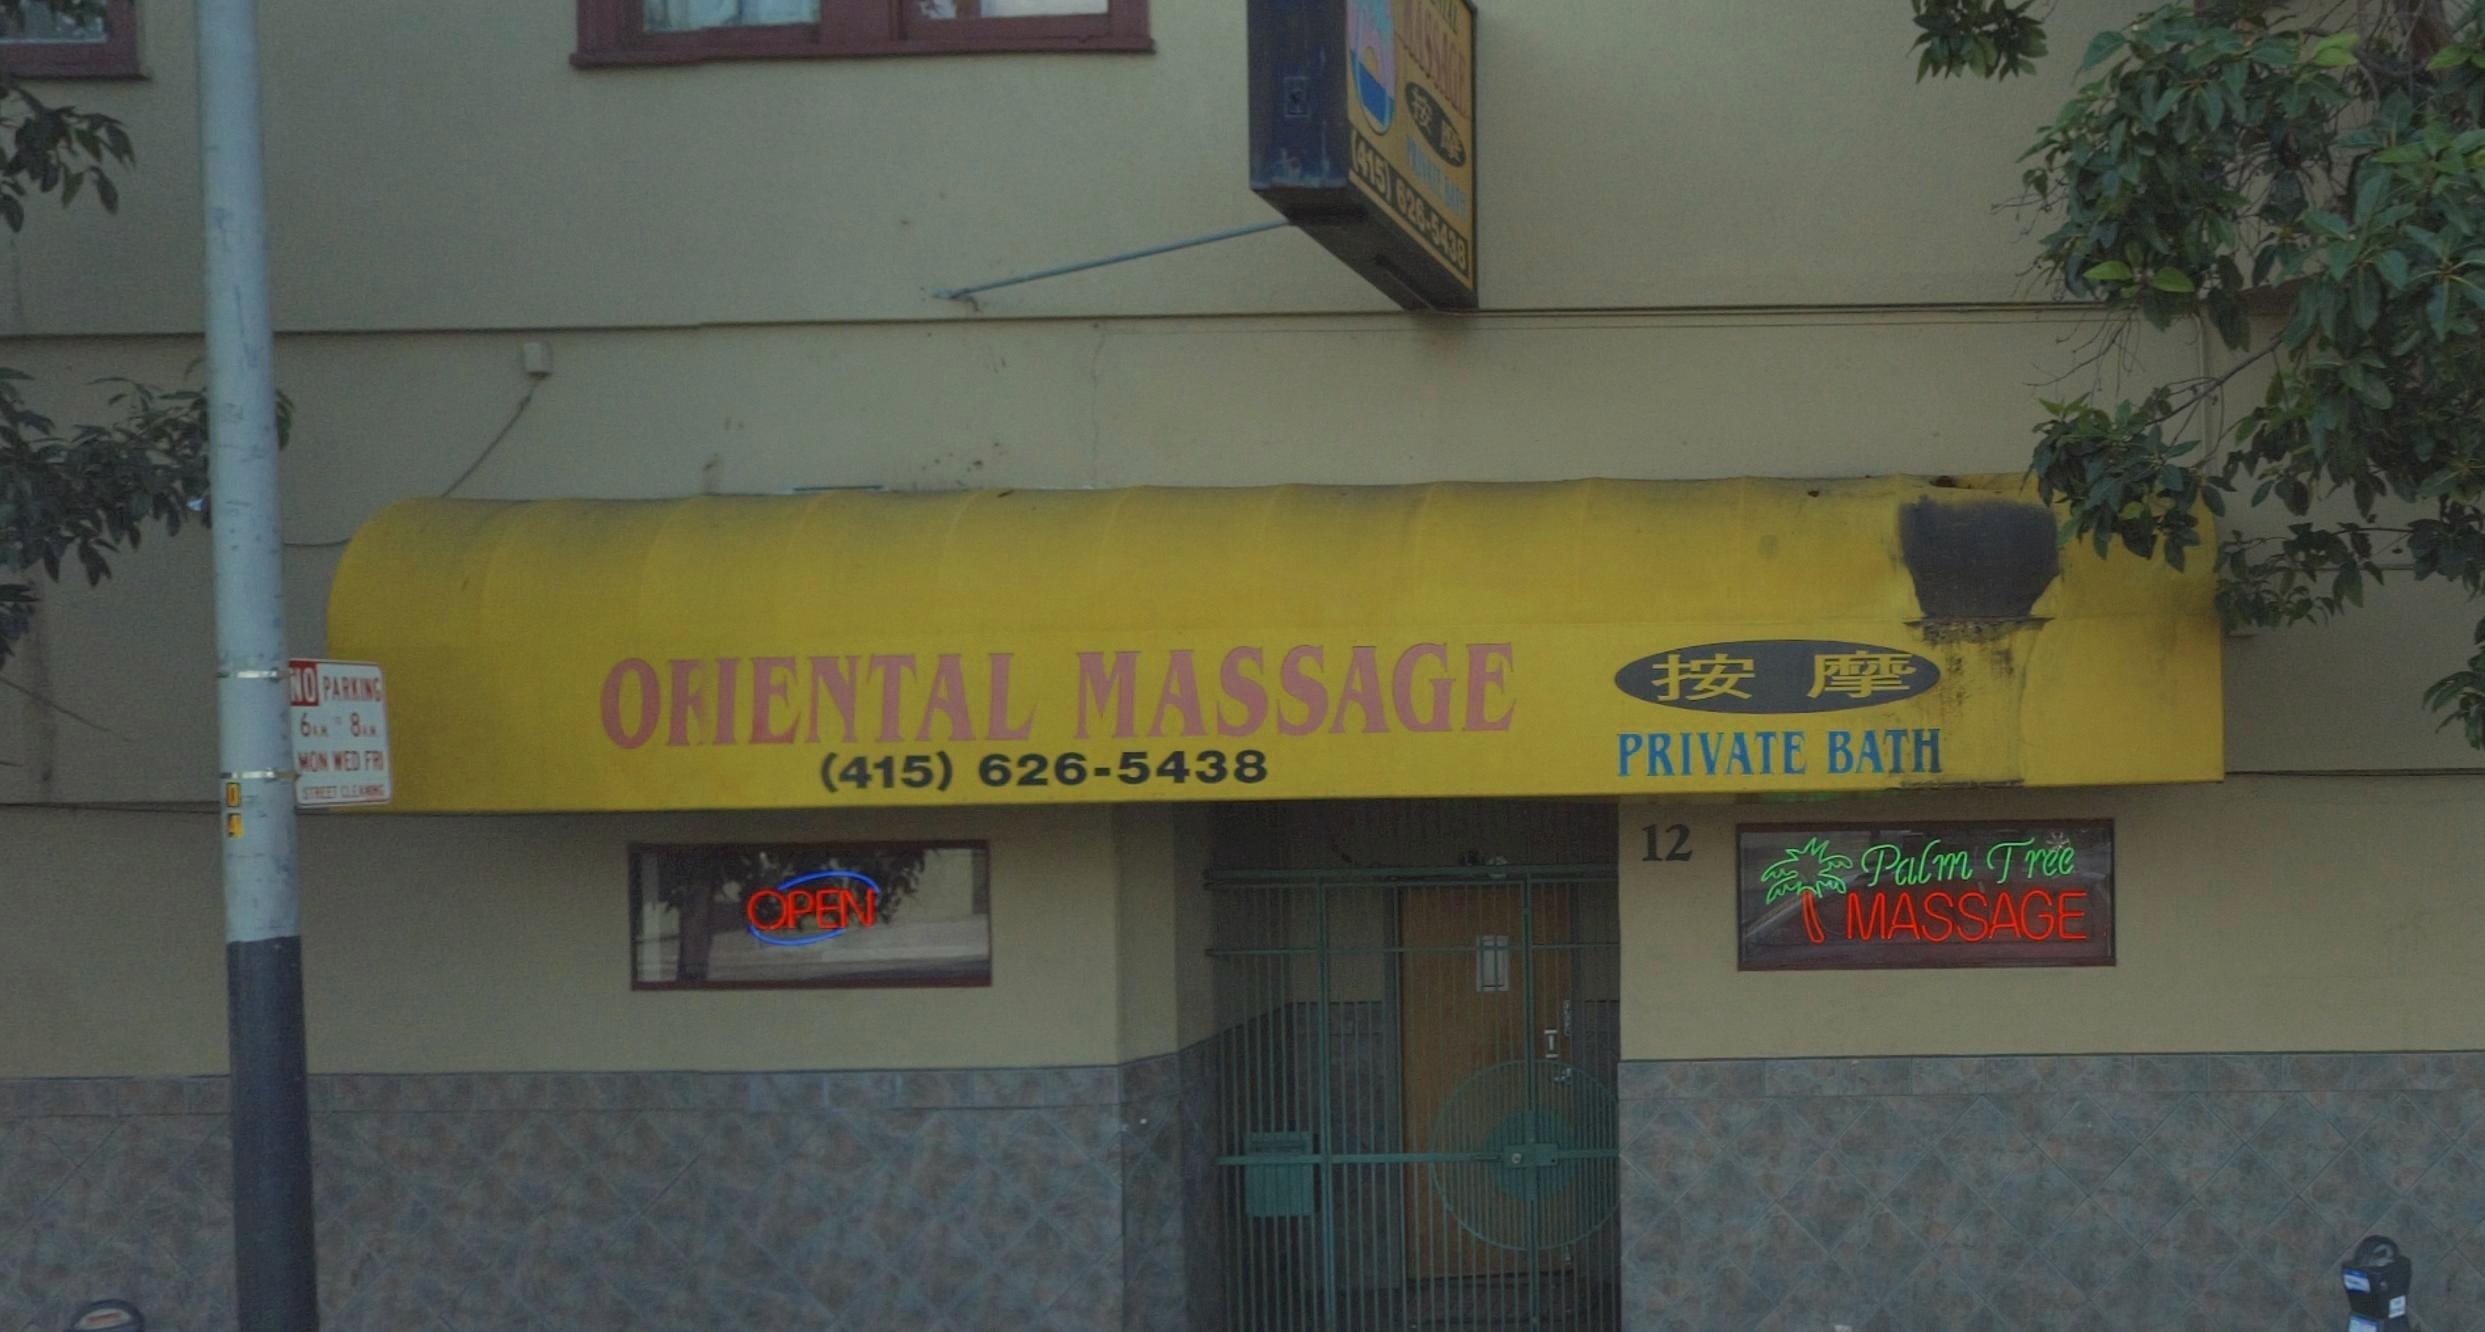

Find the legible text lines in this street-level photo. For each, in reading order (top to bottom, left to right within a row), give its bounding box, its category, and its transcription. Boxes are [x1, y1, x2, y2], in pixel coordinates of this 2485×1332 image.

[1419, 4, 1470, 127] BusinessName: SSAGE
[1352, 133, 1469, 280] None: 415) 626-5438
[285, 663, 387, 707] None: NO PARKING
[590, 633, 1523, 757] BusinessName: O*IENTAL MASSAGE
[295, 708, 315, 740] None: 6
[347, 708, 363, 739] None: 8
[225, 781, 243, 840] None: 04
[293, 748, 388, 776] None: MON WED FRI
[299, 780, 389, 804] None: STREET CLEANING
[833, 745, 1273, 794] None: 415) 626-5438
[1611, 723, 1948, 781] None: PRIVATE BATH
[1637, 817, 1696, 866] StreetNumber: 12
[1855, 833, 2080, 891] None: Palm Tree
[742, 883, 878, 934] None: OPEN
[1843, 885, 2093, 947] None: MASSAGE